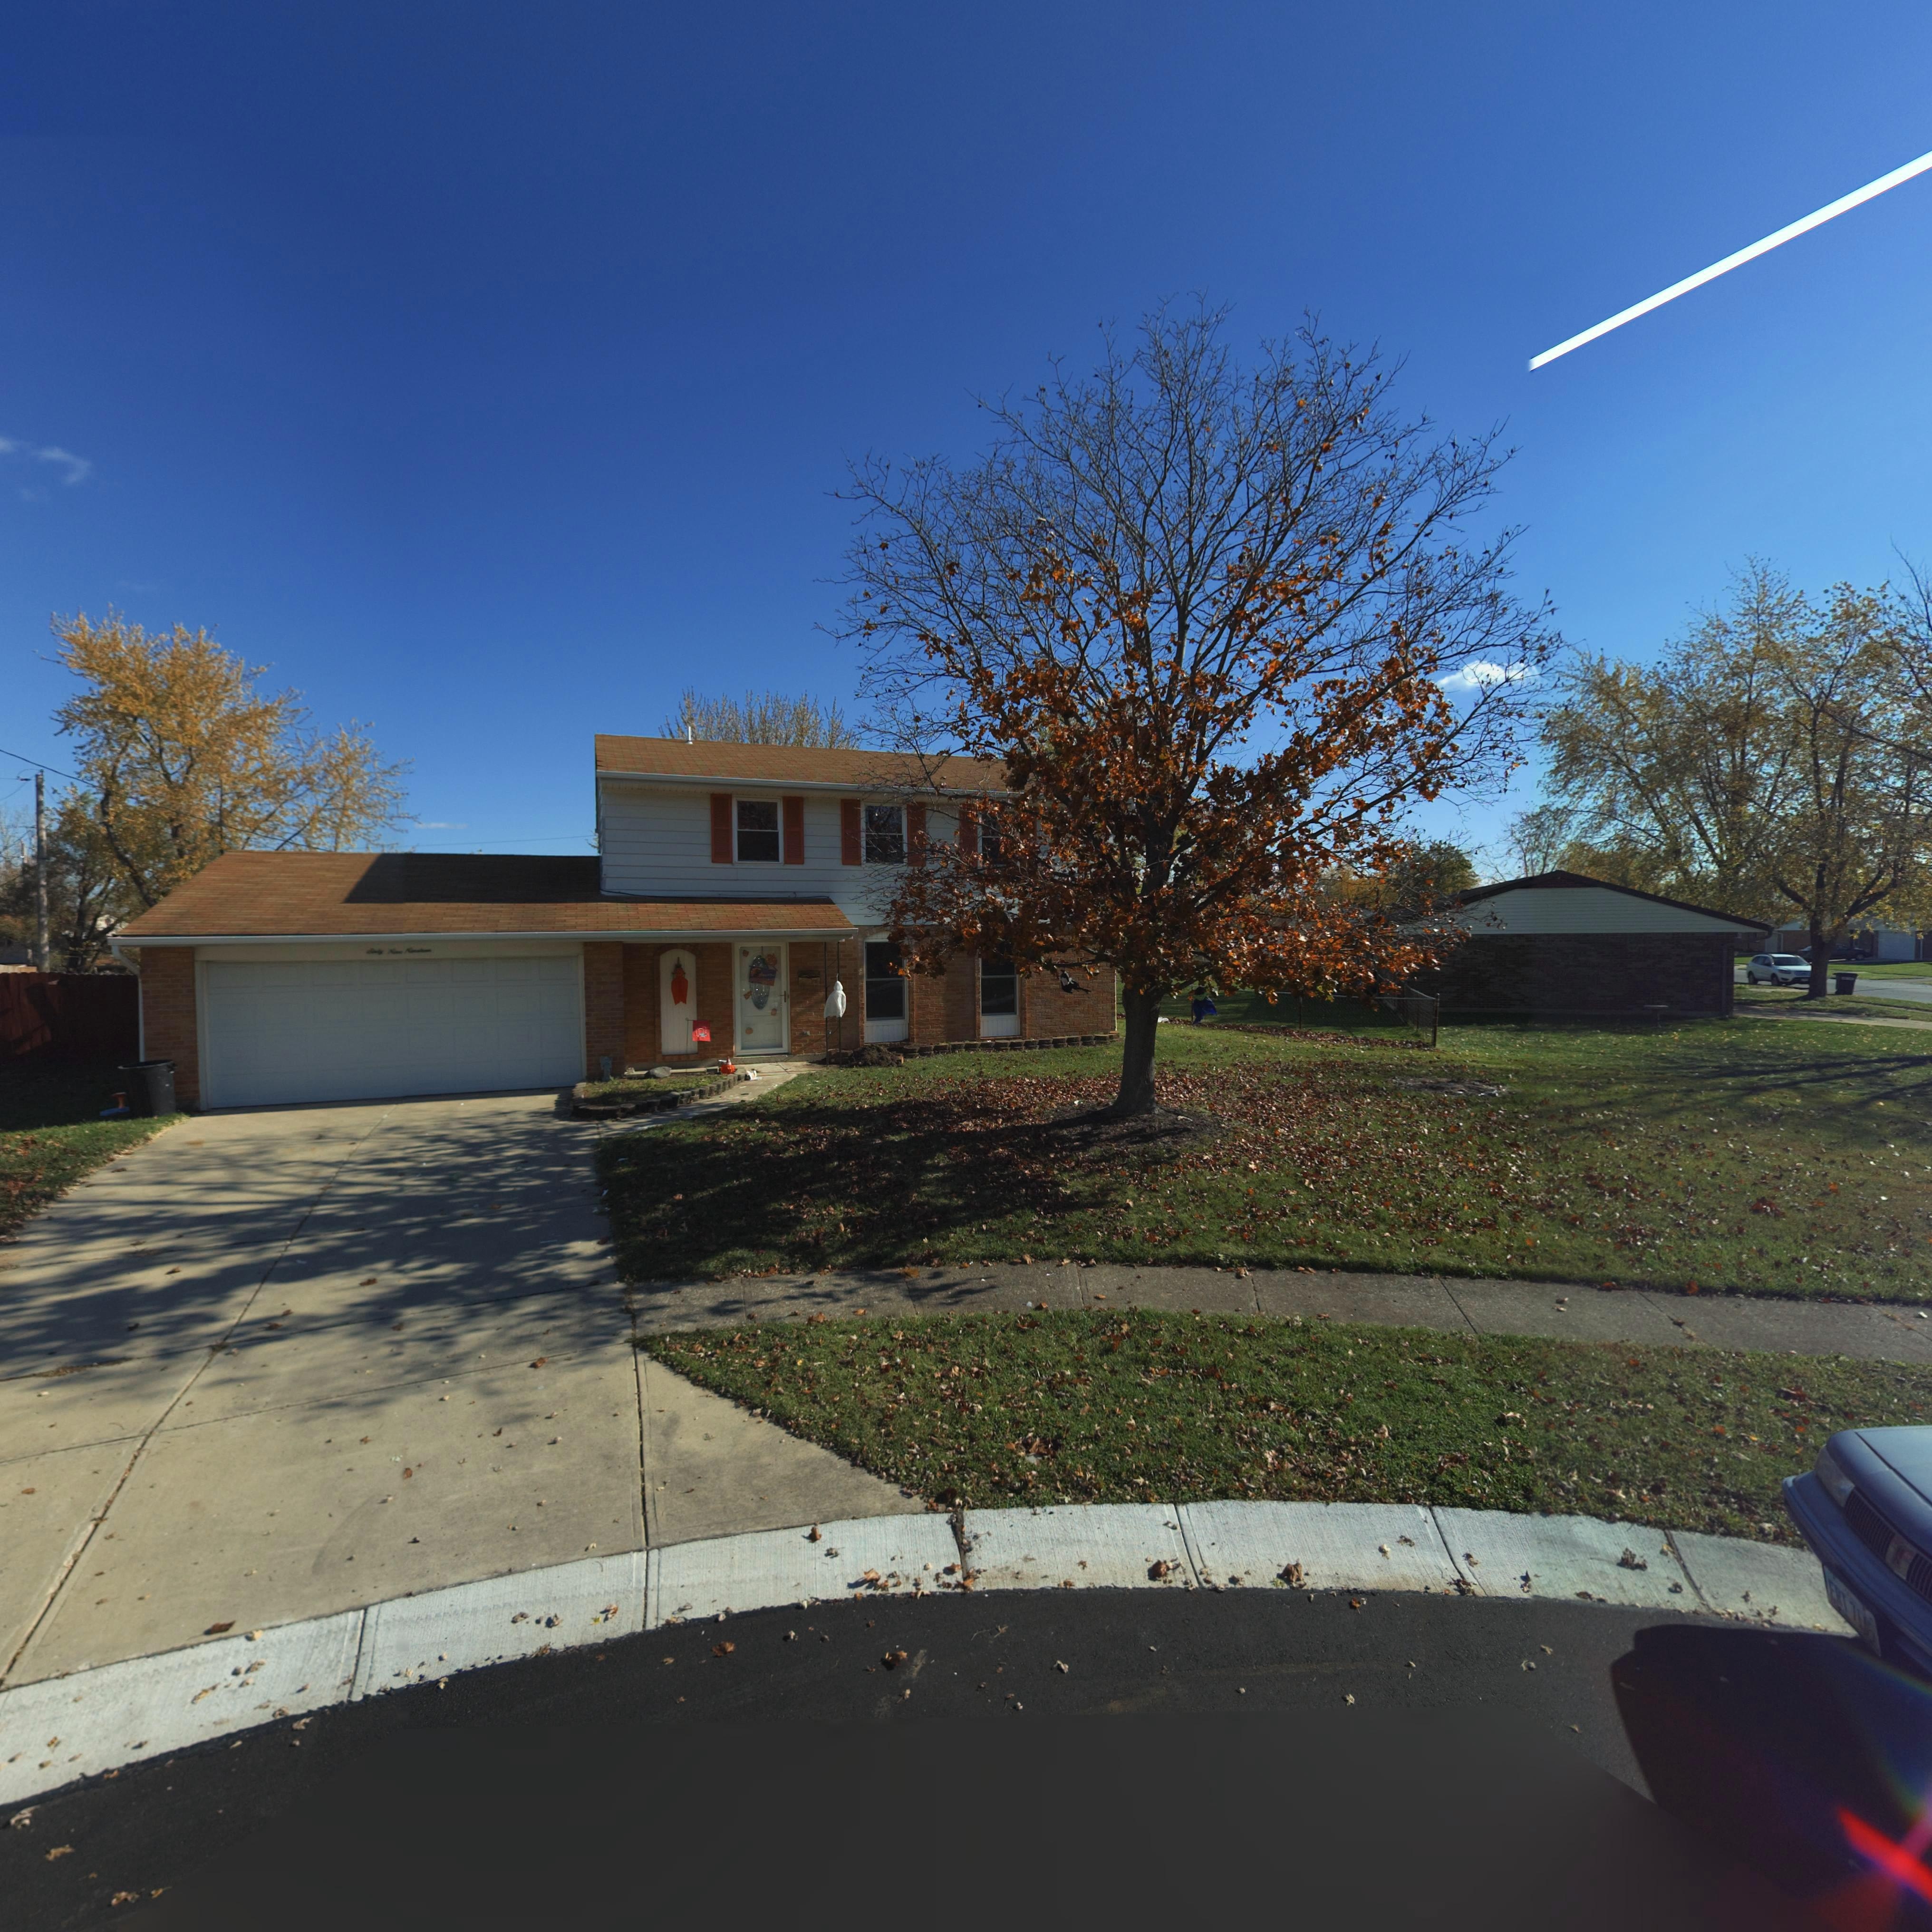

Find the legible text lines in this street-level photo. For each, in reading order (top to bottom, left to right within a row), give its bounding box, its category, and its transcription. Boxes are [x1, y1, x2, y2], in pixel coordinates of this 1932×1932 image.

[365, 947, 433, 956] StreetNumber: Sixty Nine Nineteen